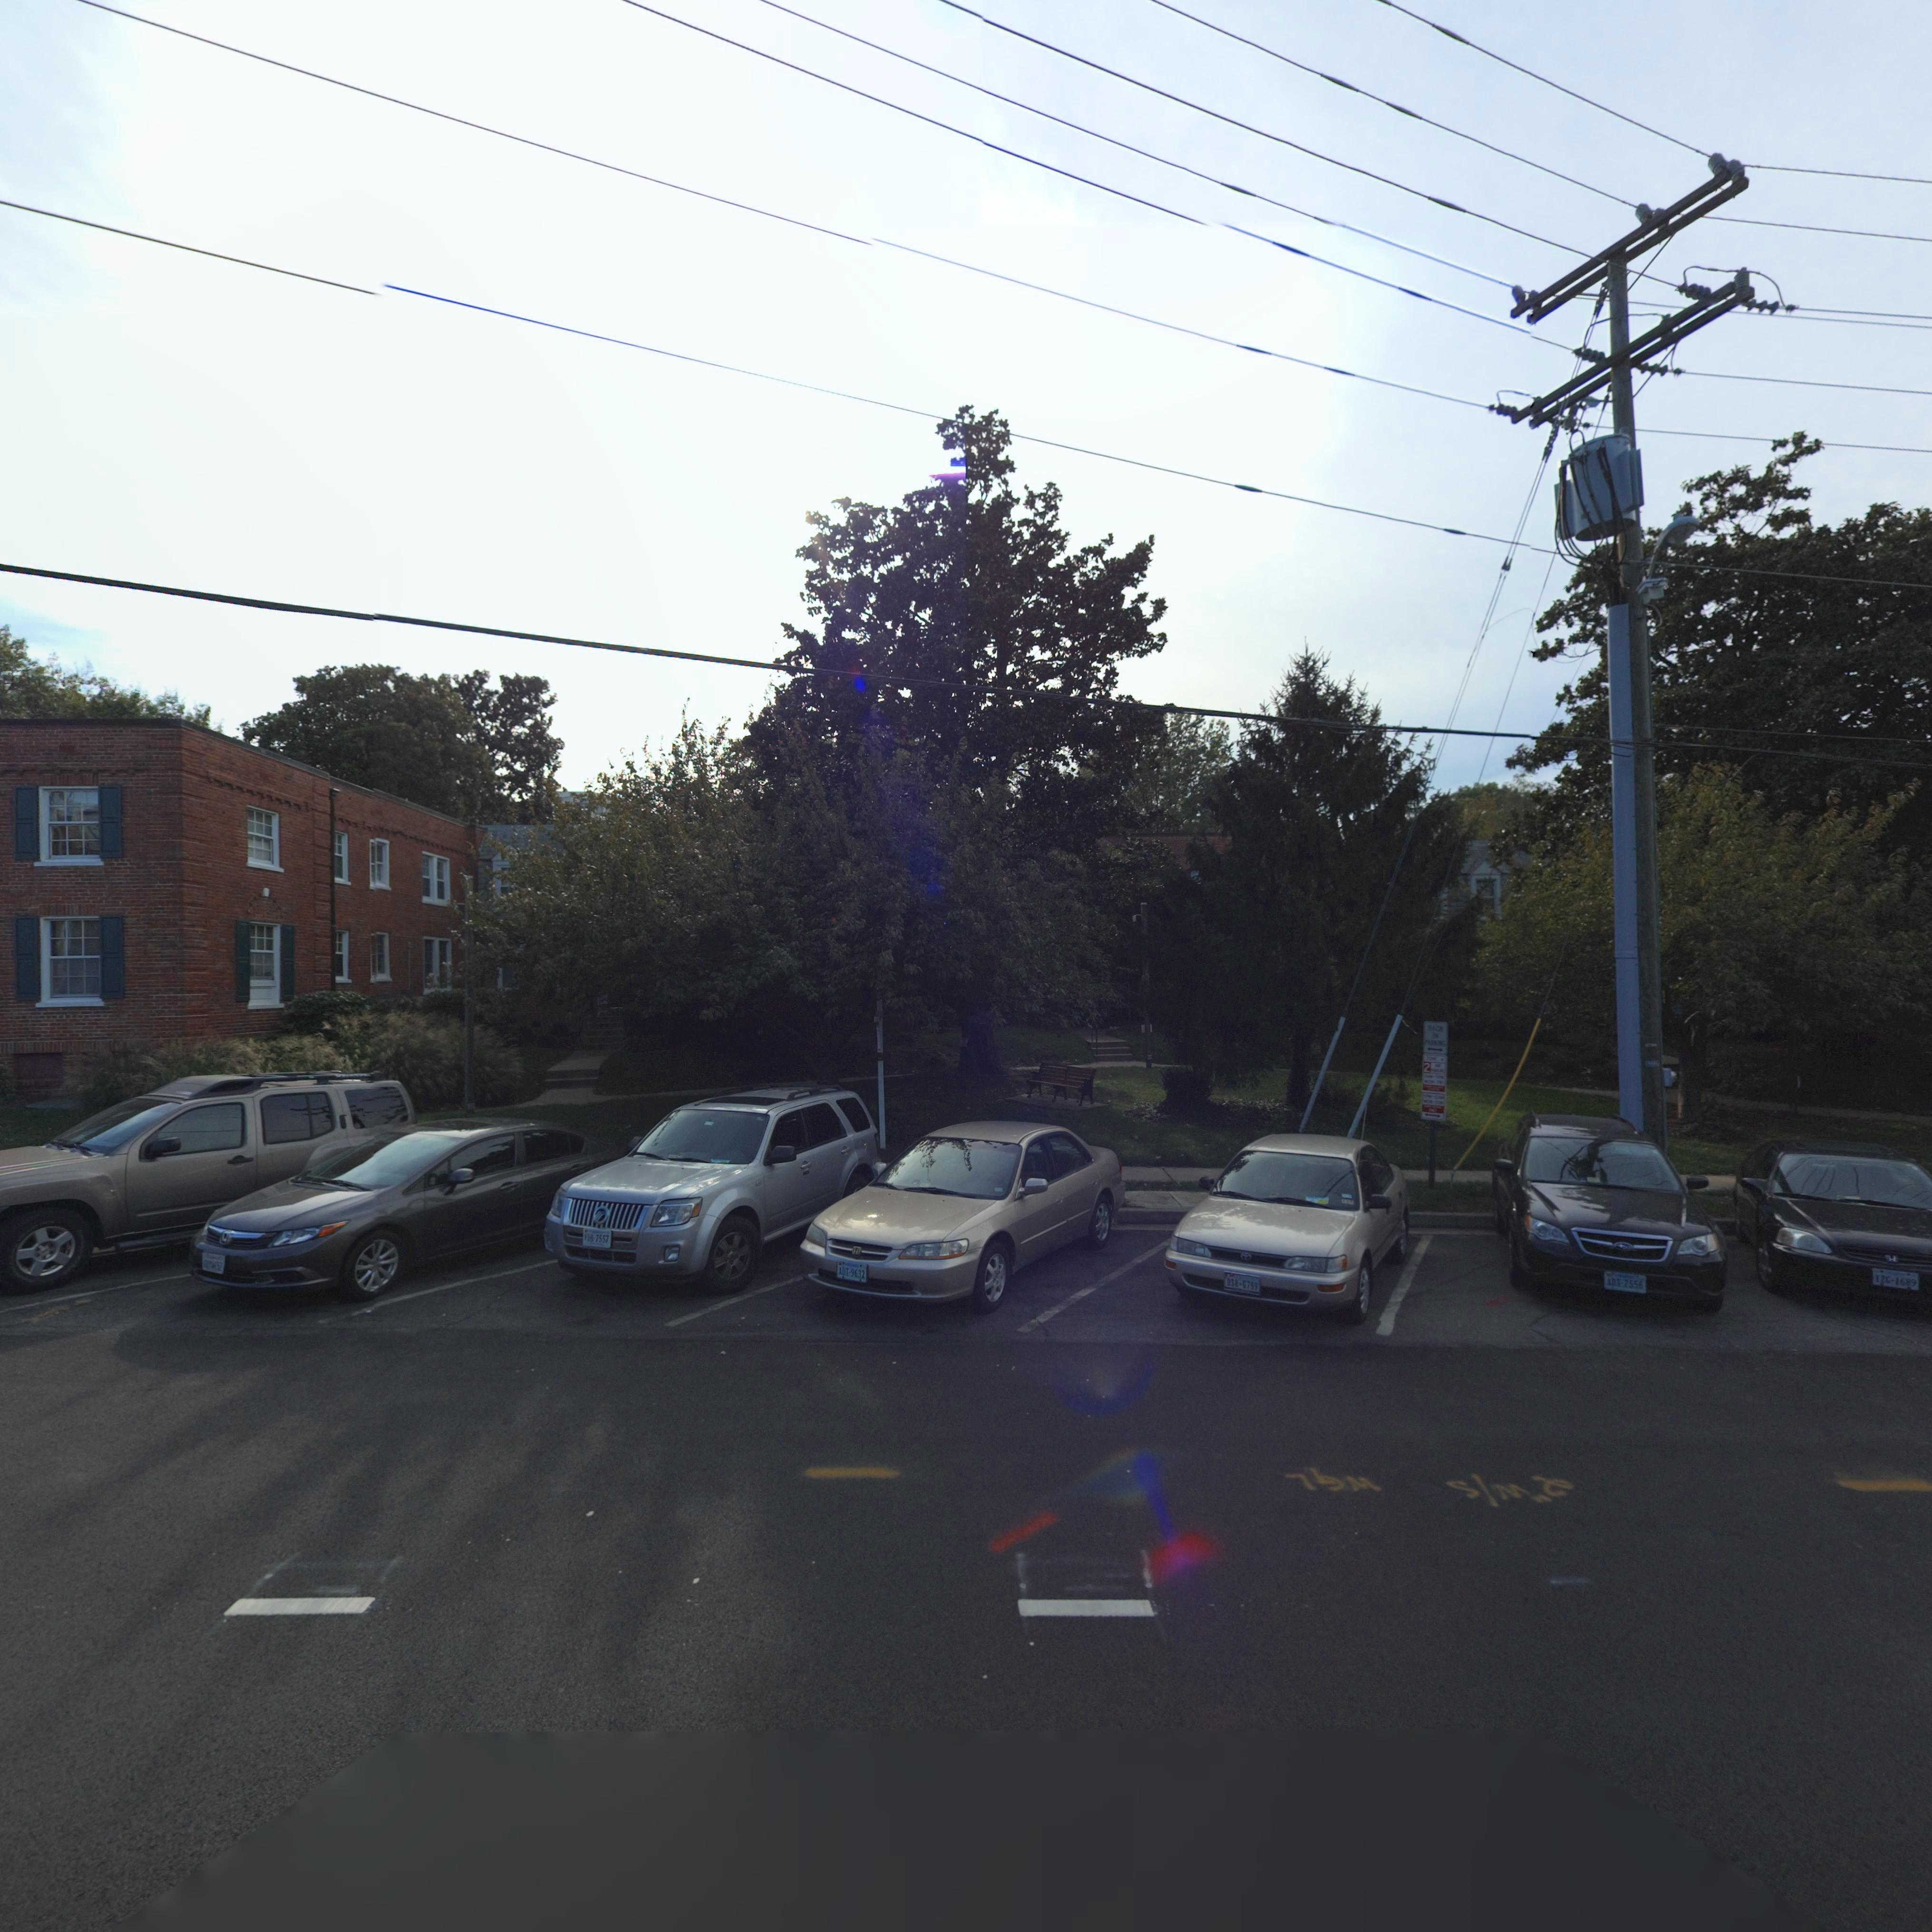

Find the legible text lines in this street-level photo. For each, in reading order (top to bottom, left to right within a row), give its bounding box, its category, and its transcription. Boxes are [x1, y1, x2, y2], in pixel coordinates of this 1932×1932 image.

[1427, 1024, 1444, 1033] None: BACK
[1431, 1032, 1439, 1039] None: IN
[1424, 1038, 1447, 1047] None: PARKING
[1423, 1062, 1430, 1073] None: 2
[584, 1233, 610, 1244] None: VDB*7557
[215, 1261, 224, 1272] None: 52
[838, 1266, 865, 1279] None: ADT*9632
[1227, 1277, 1259, 1292] None: DS8**799
[1606, 1277, 1644, 1290] None: ADT*7556
[1874, 1274, 1917, 1287] None: *ZG*1689